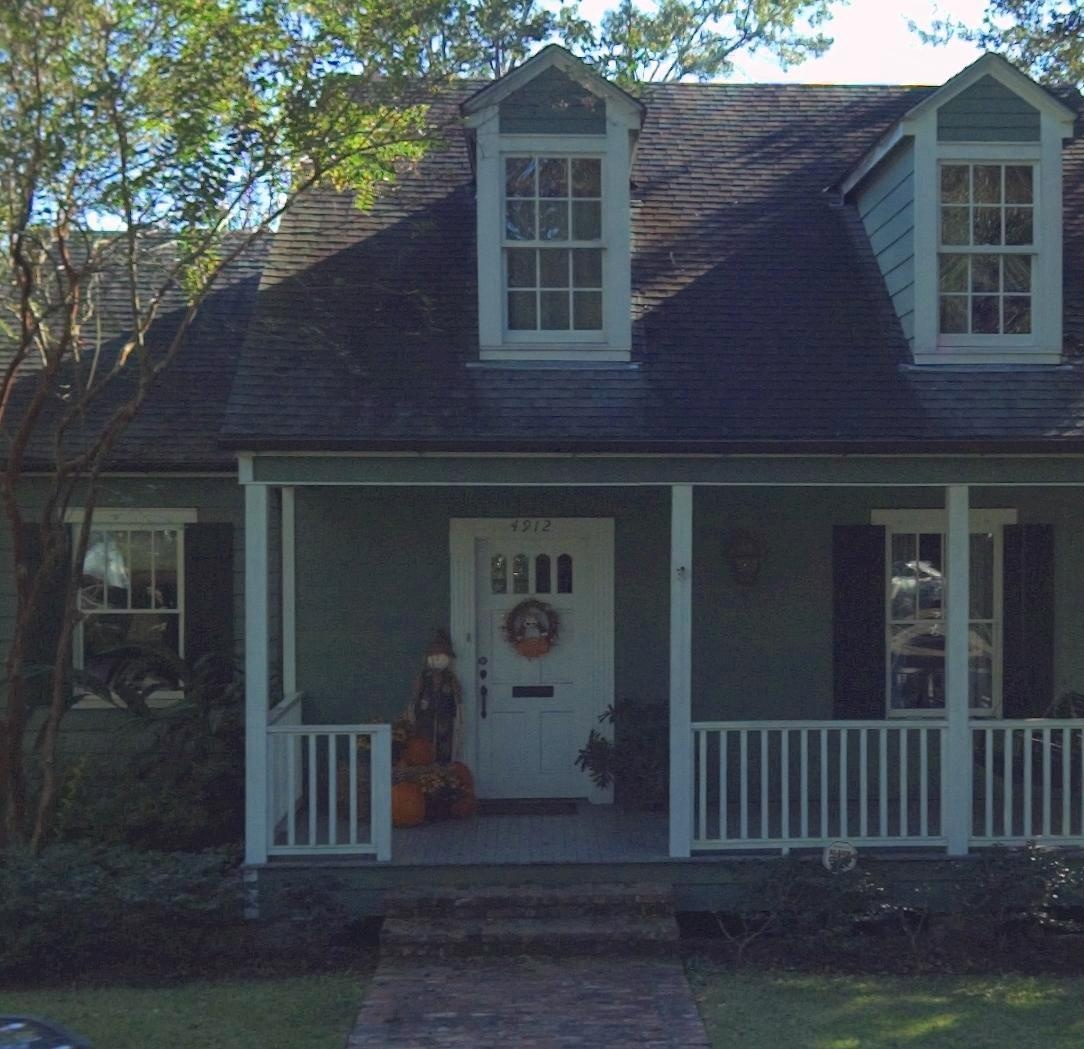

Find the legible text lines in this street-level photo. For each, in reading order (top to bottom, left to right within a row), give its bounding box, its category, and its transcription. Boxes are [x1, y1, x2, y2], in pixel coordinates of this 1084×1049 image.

[508, 518, 553, 535] StreetNumber: 4912